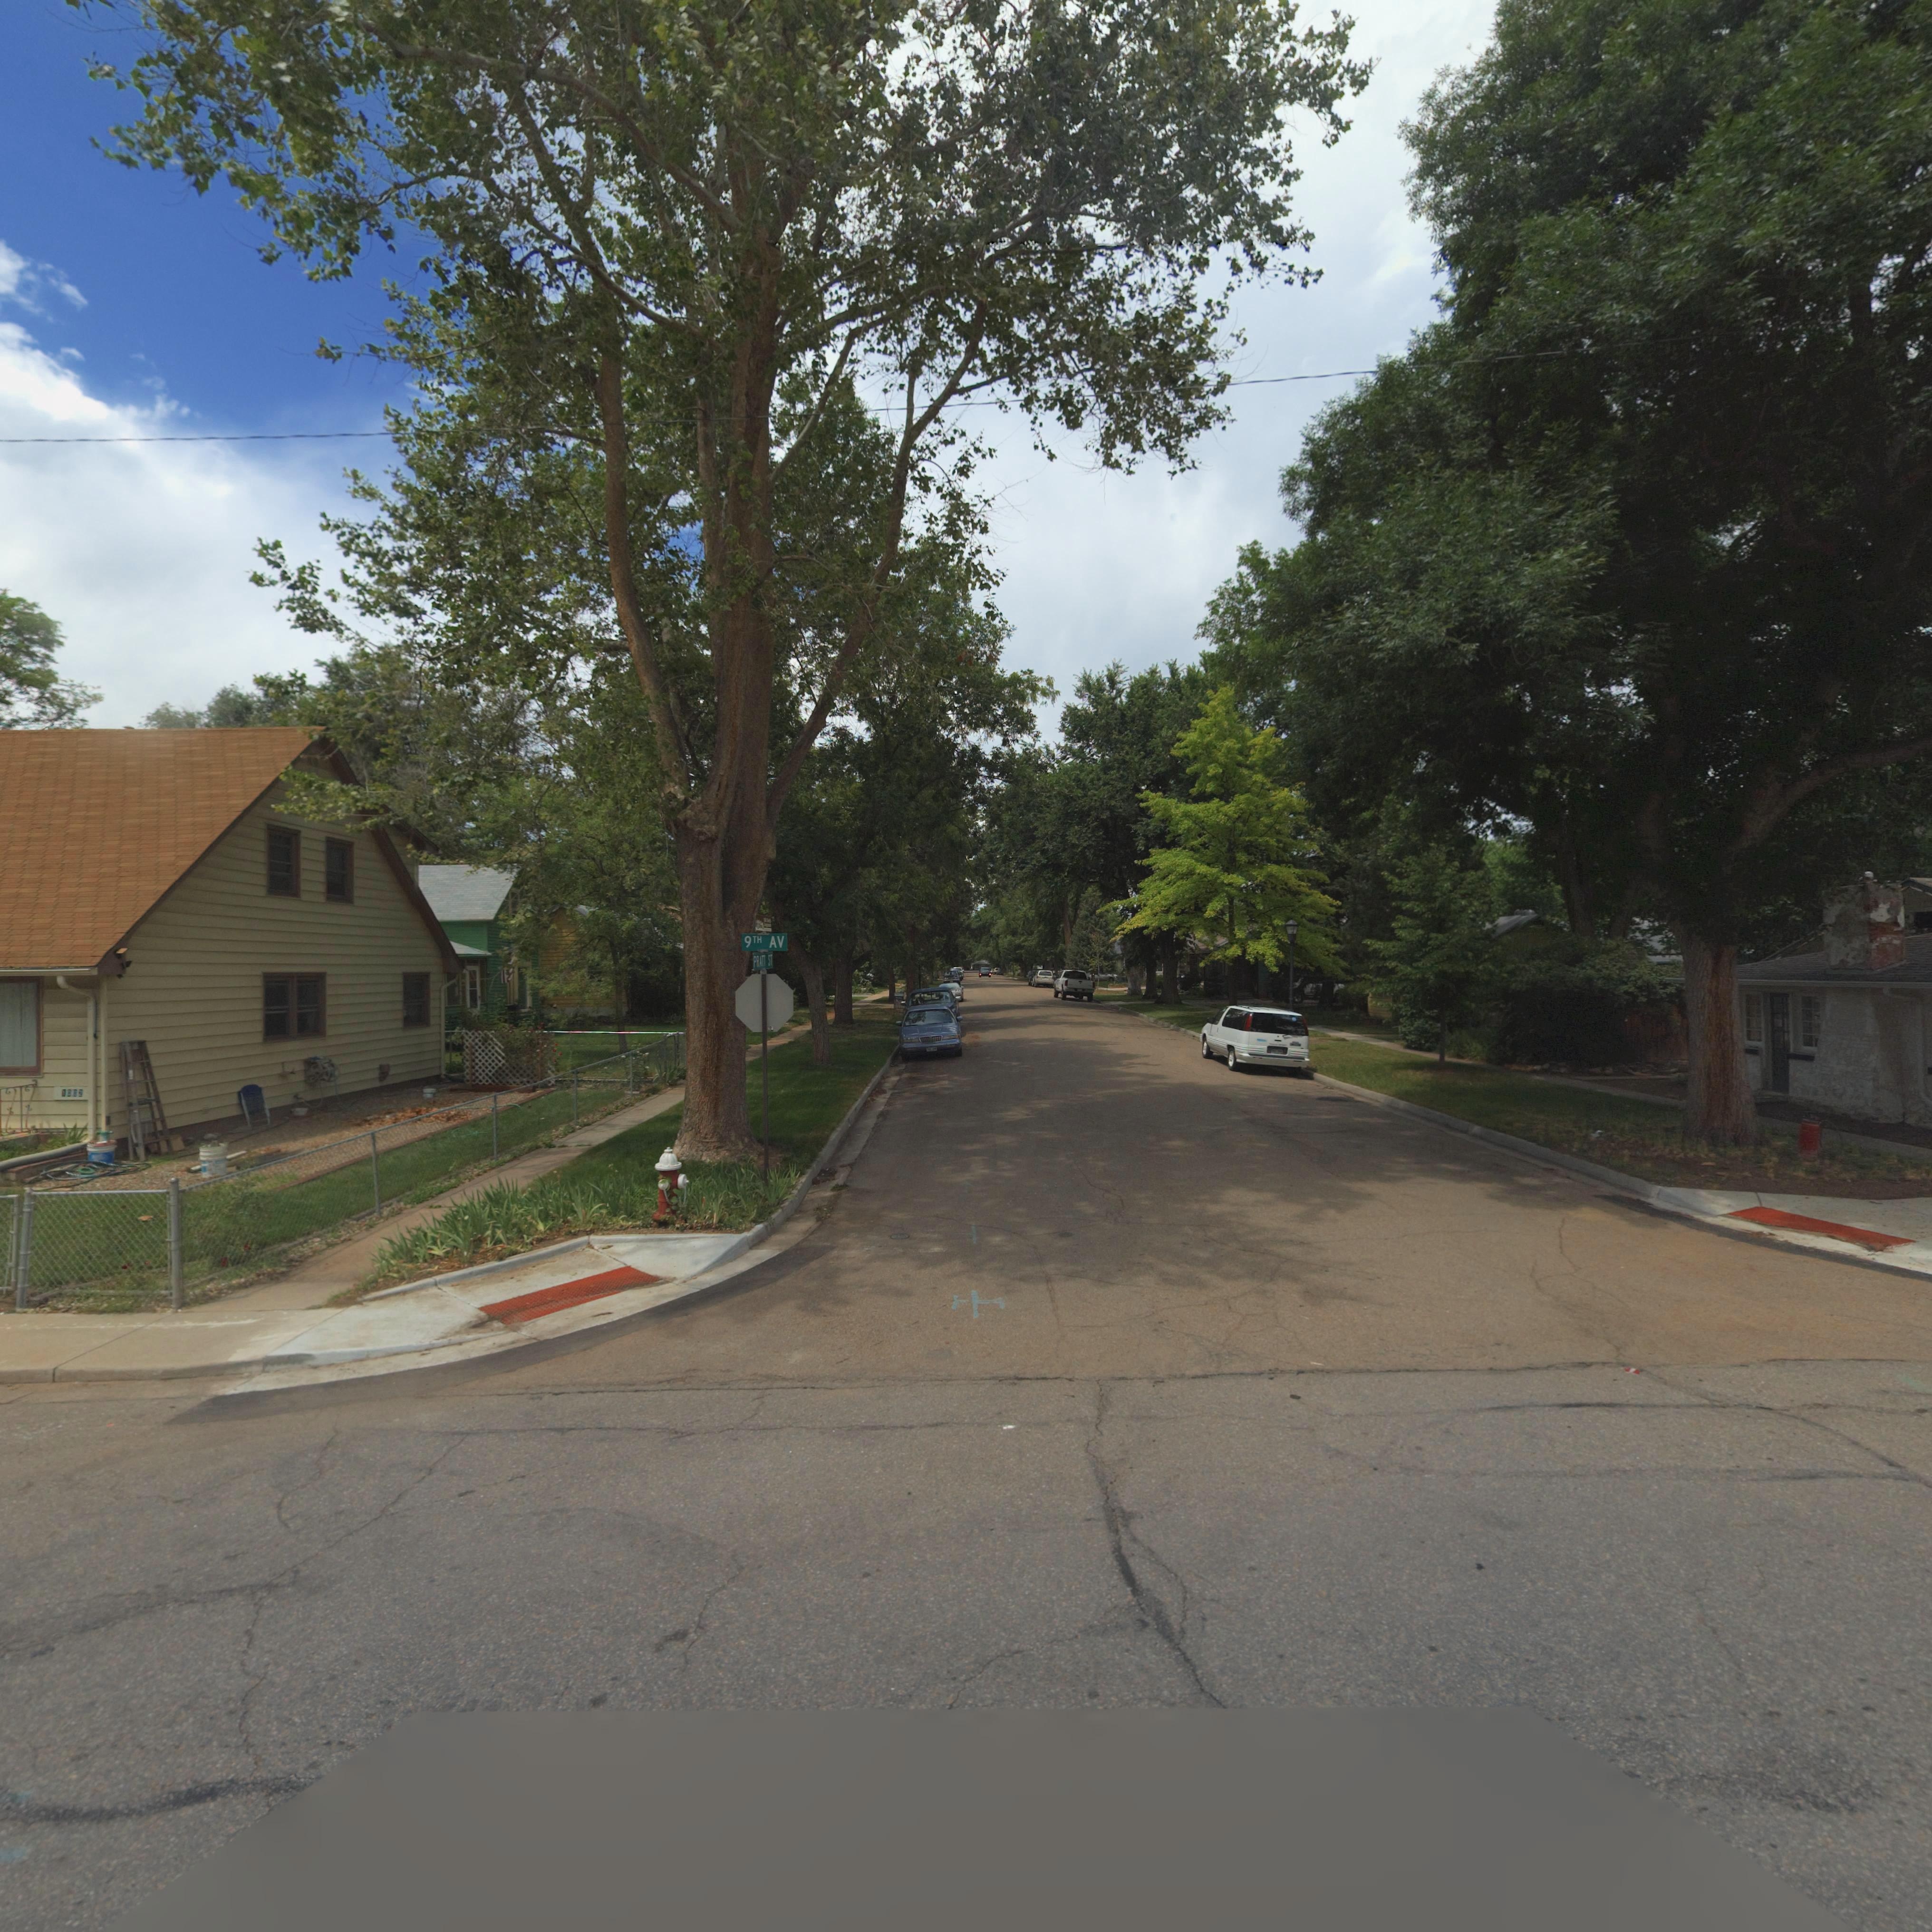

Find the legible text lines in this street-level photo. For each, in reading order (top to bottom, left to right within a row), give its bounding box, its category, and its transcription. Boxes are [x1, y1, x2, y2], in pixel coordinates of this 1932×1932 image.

[744, 935, 785, 948] StreetName: 9TH AV
[753, 954, 773, 968] StreetName: PRATT ST
[61, 1089, 83, 1097] StreetNumber: 1002